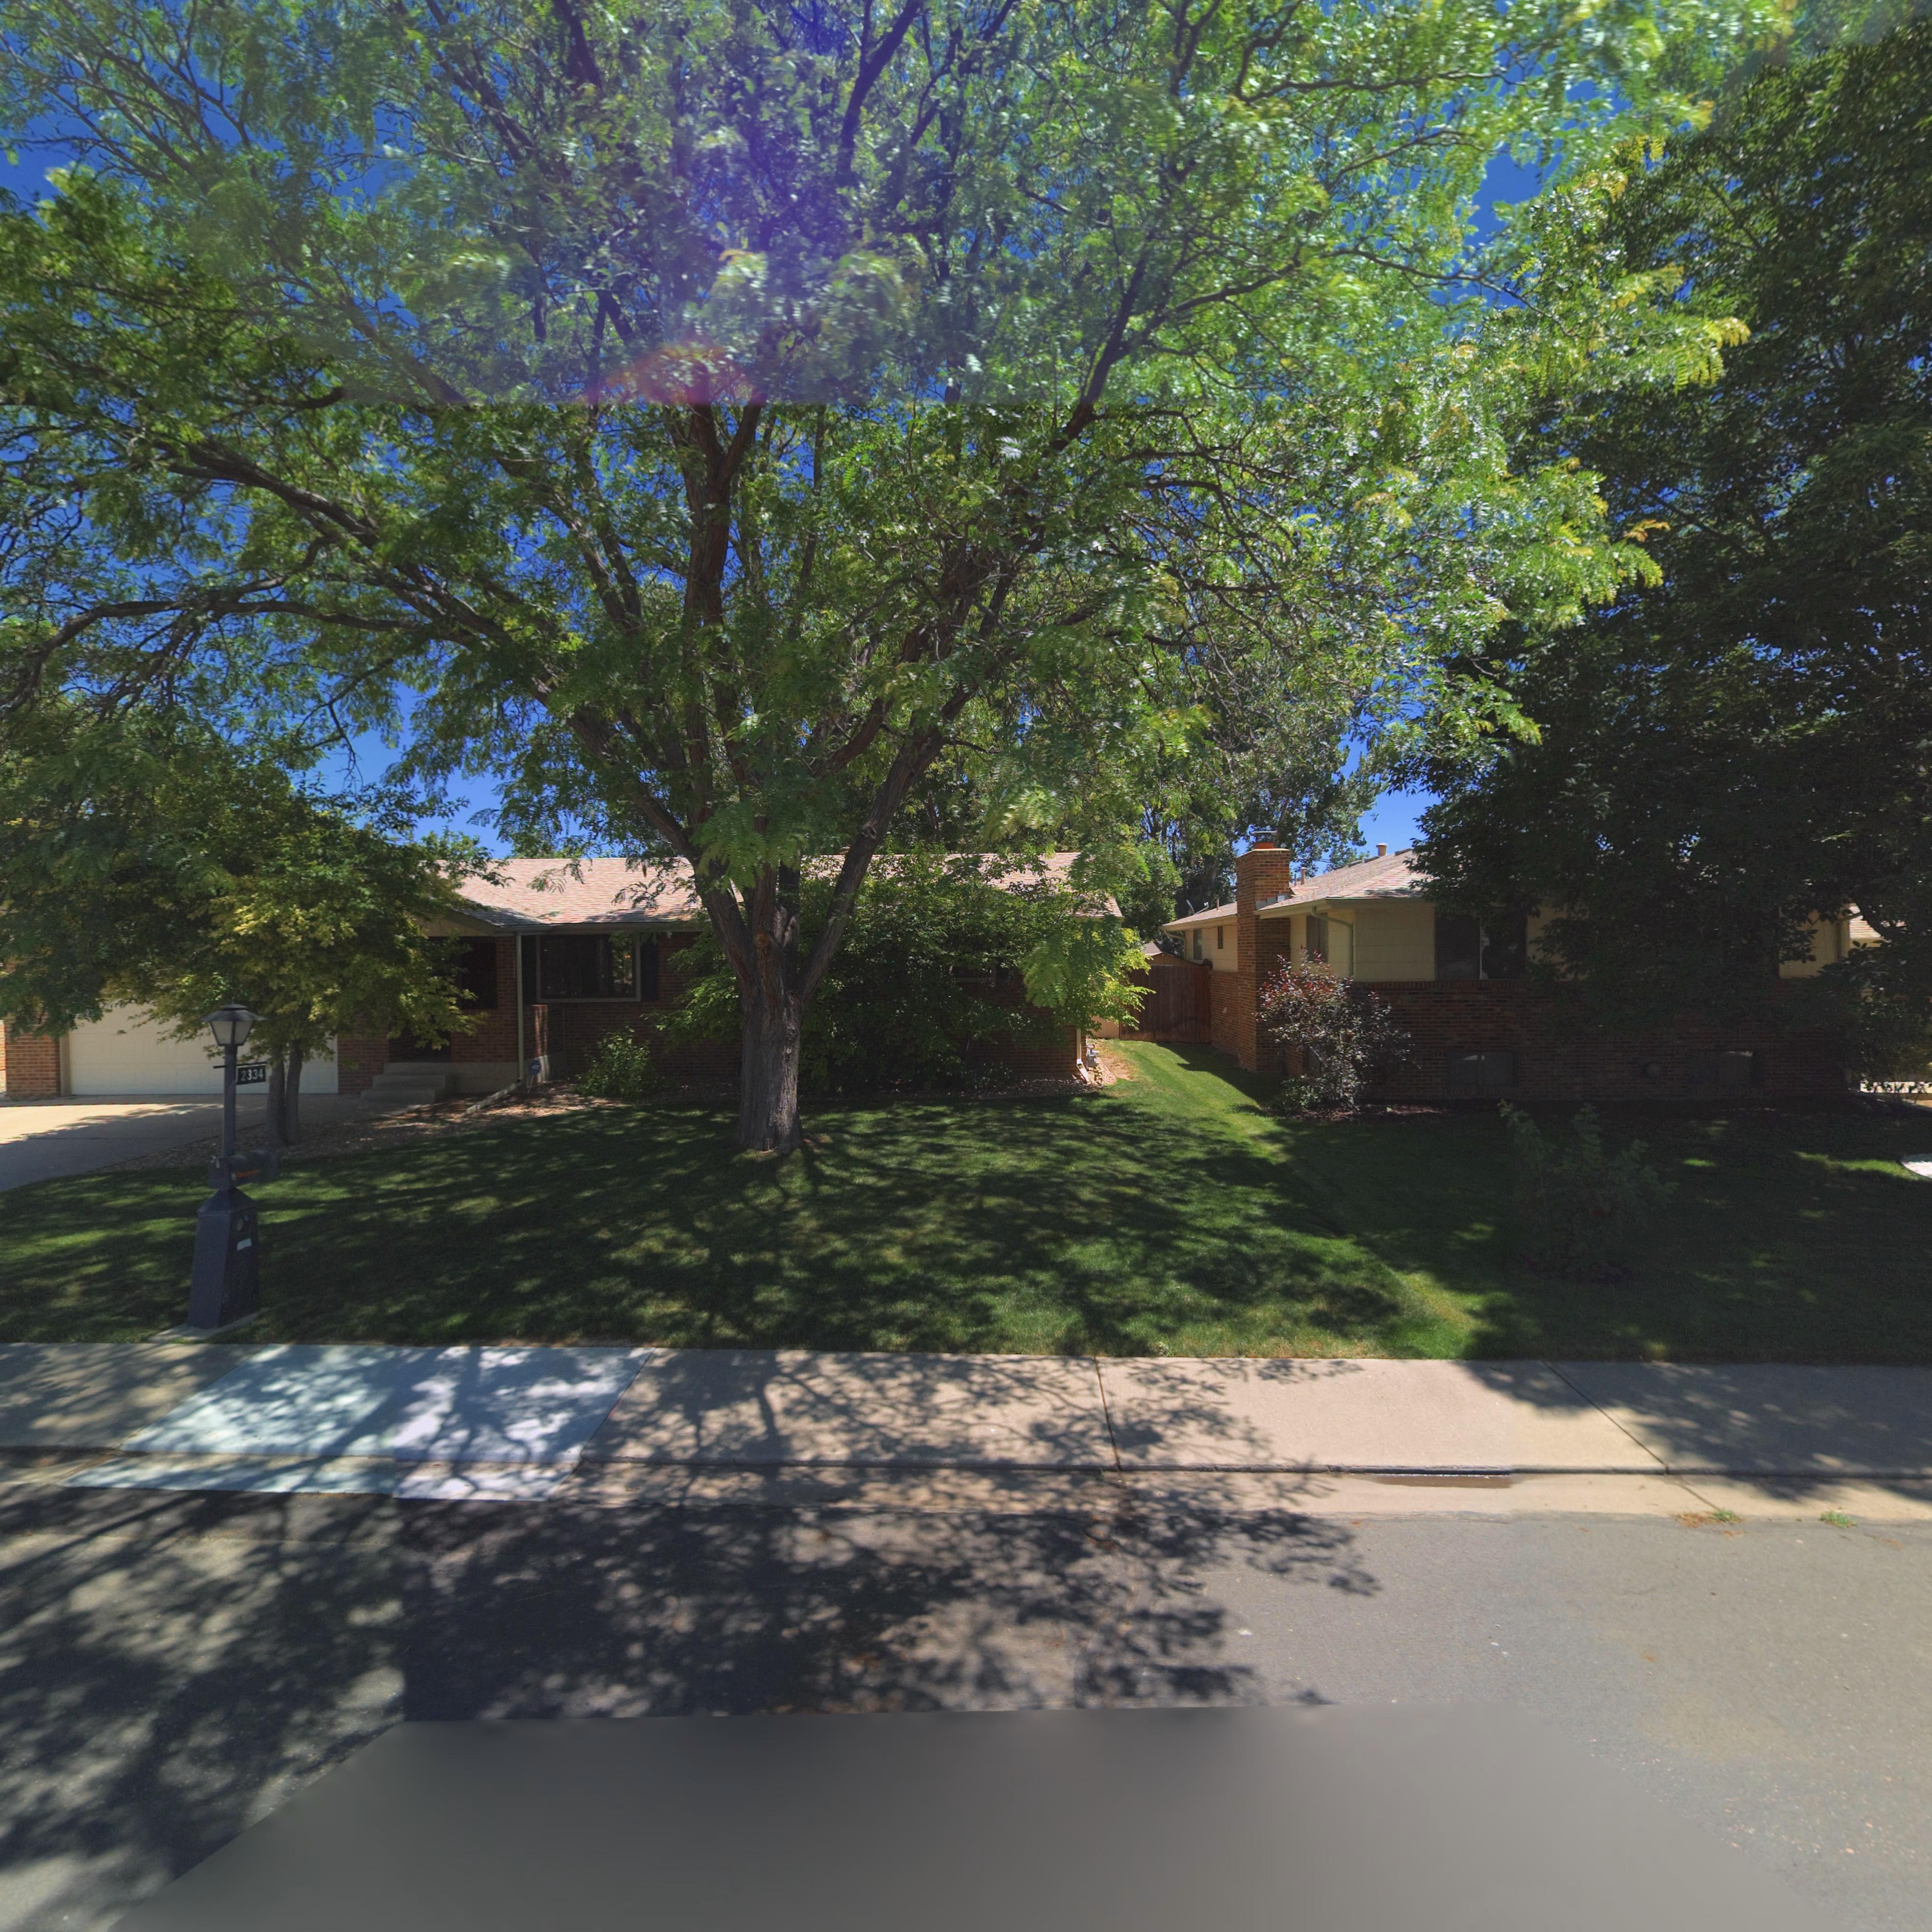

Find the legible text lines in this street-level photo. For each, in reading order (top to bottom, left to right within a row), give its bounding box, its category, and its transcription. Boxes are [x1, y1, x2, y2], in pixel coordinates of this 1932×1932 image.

[240, 1068, 263, 1081] StreetNumber: 2334